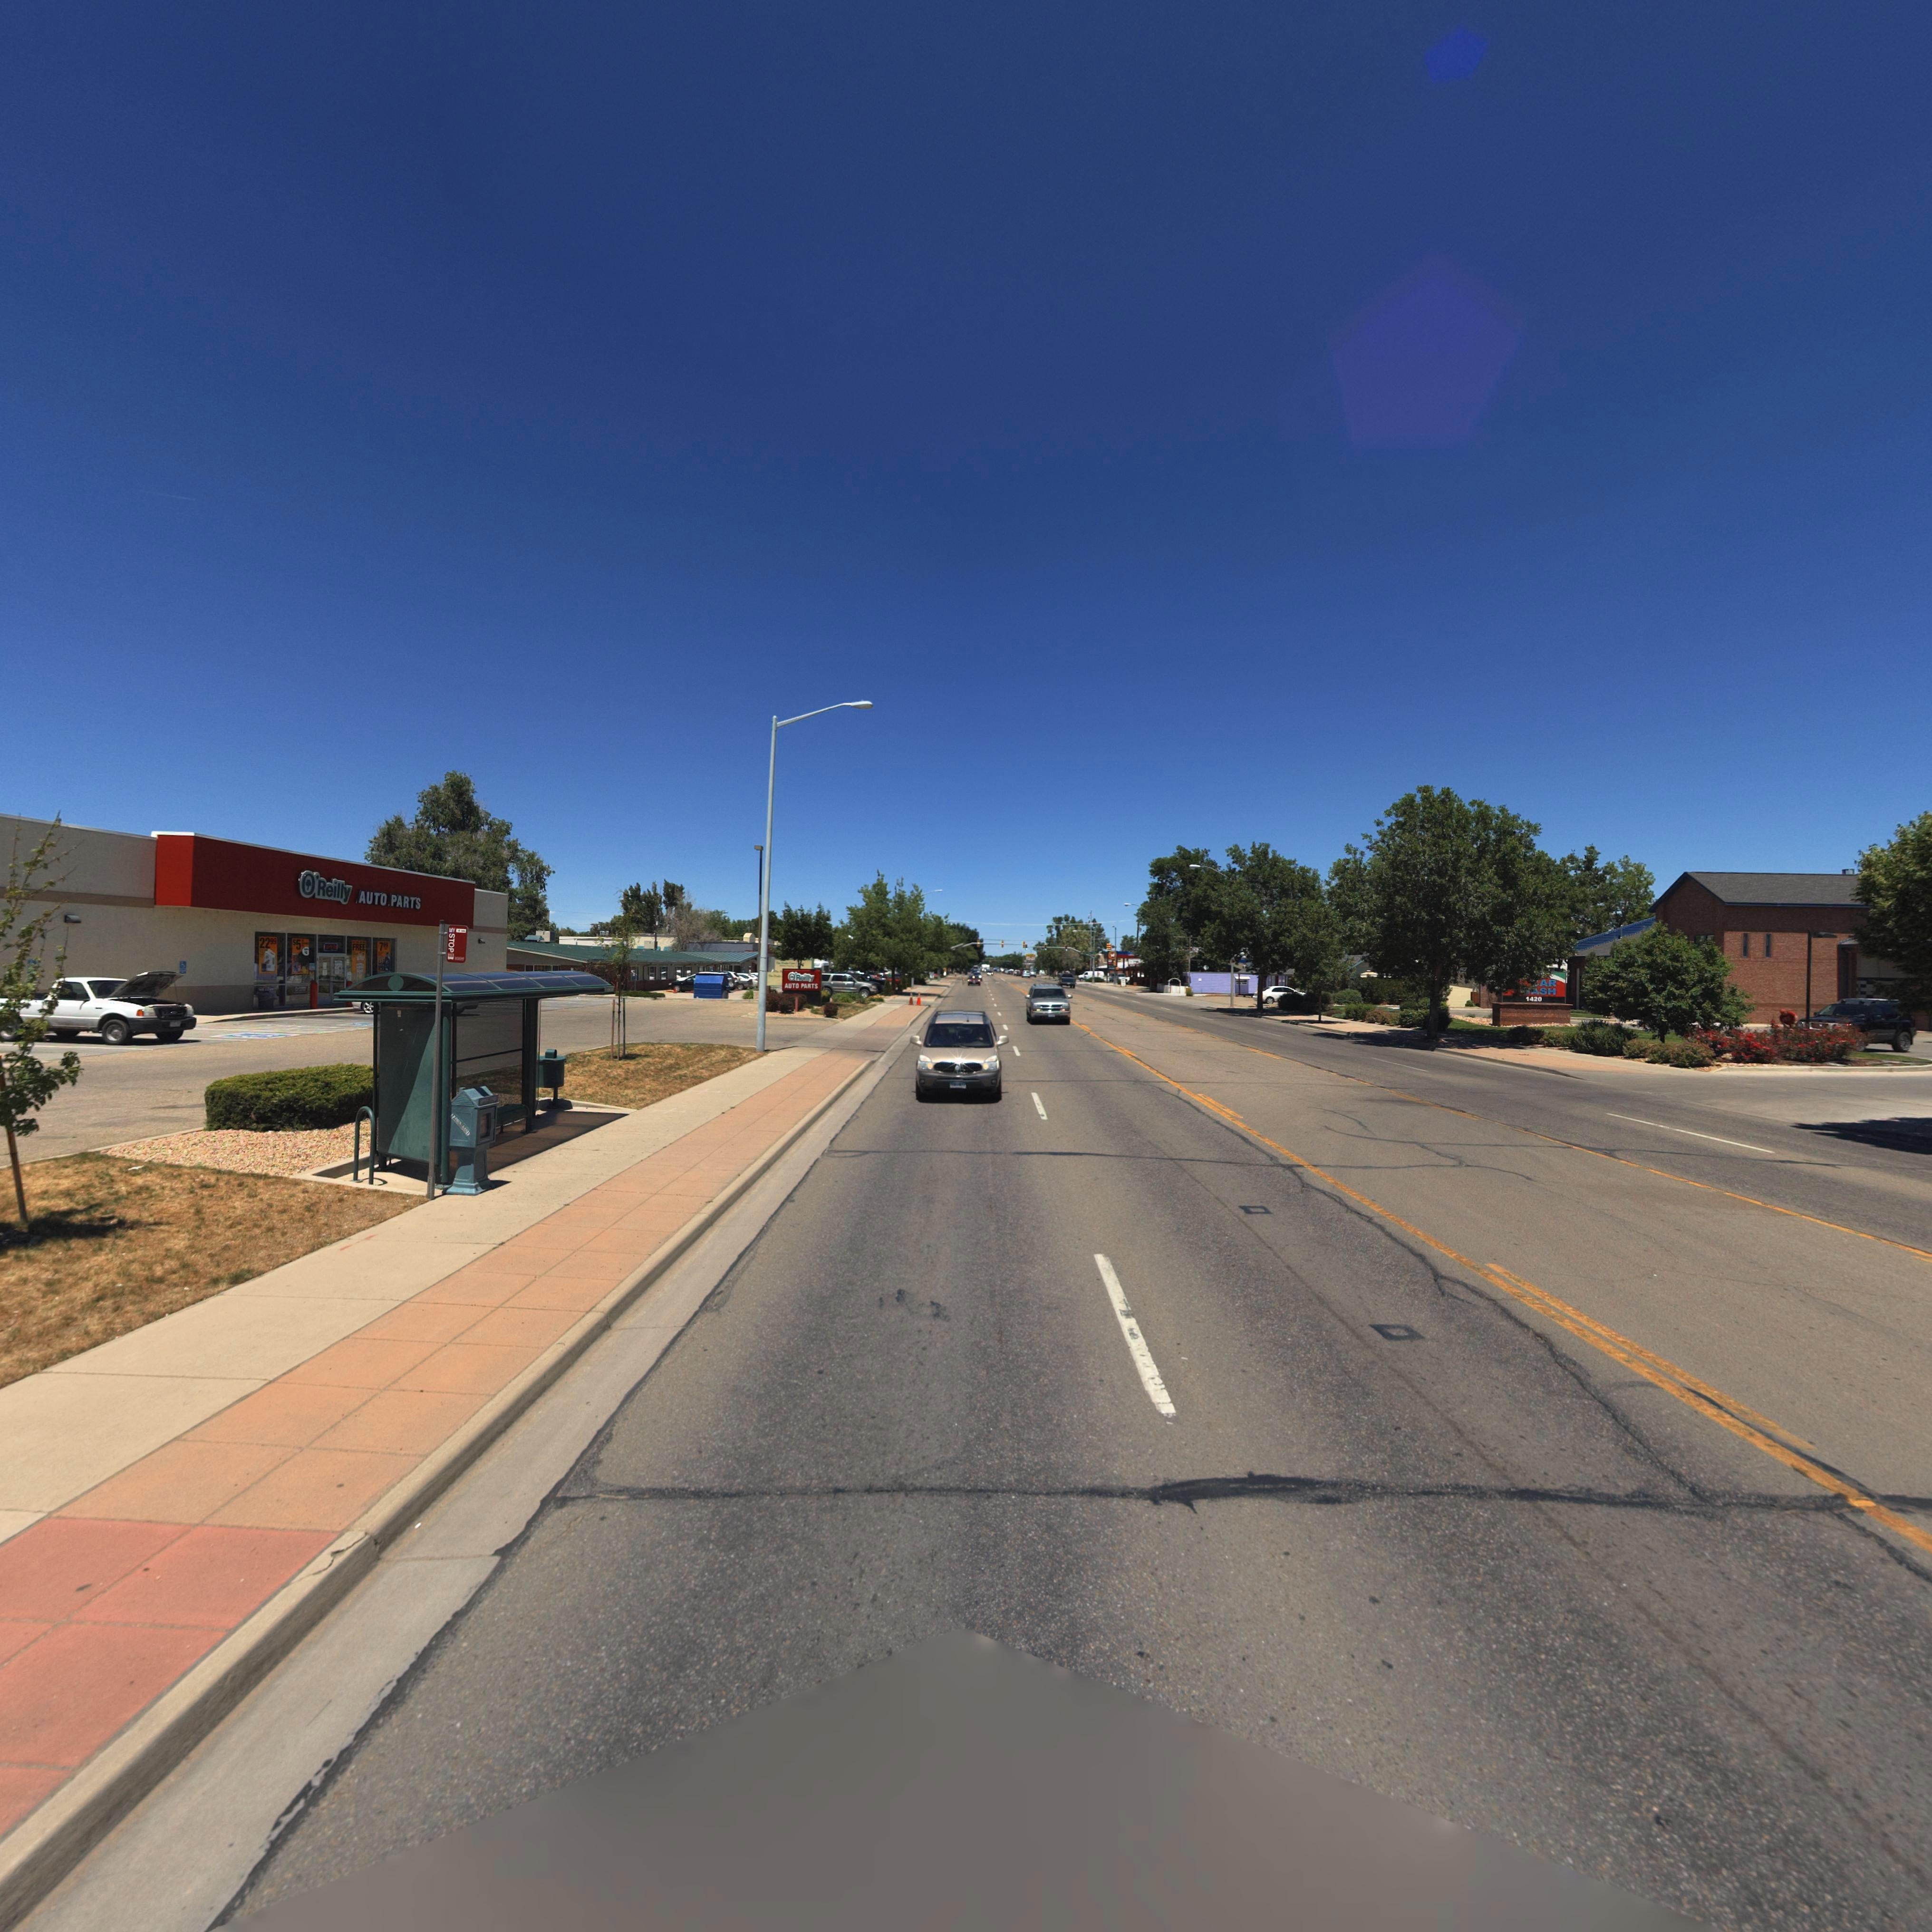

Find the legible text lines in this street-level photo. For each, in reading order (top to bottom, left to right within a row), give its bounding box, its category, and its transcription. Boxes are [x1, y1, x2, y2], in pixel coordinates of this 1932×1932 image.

[296, 869, 354, 905] BusinessName: O'Reilly
[354, 889, 422, 910] BusinessName: AUTO PARTS
[787, 971, 816, 982] BusinessName: O'Reilly
[783, 982, 818, 989] BusinessName: AUTO PARTS
[1526, 996, 1542, 1002] StreetNumber: 1420